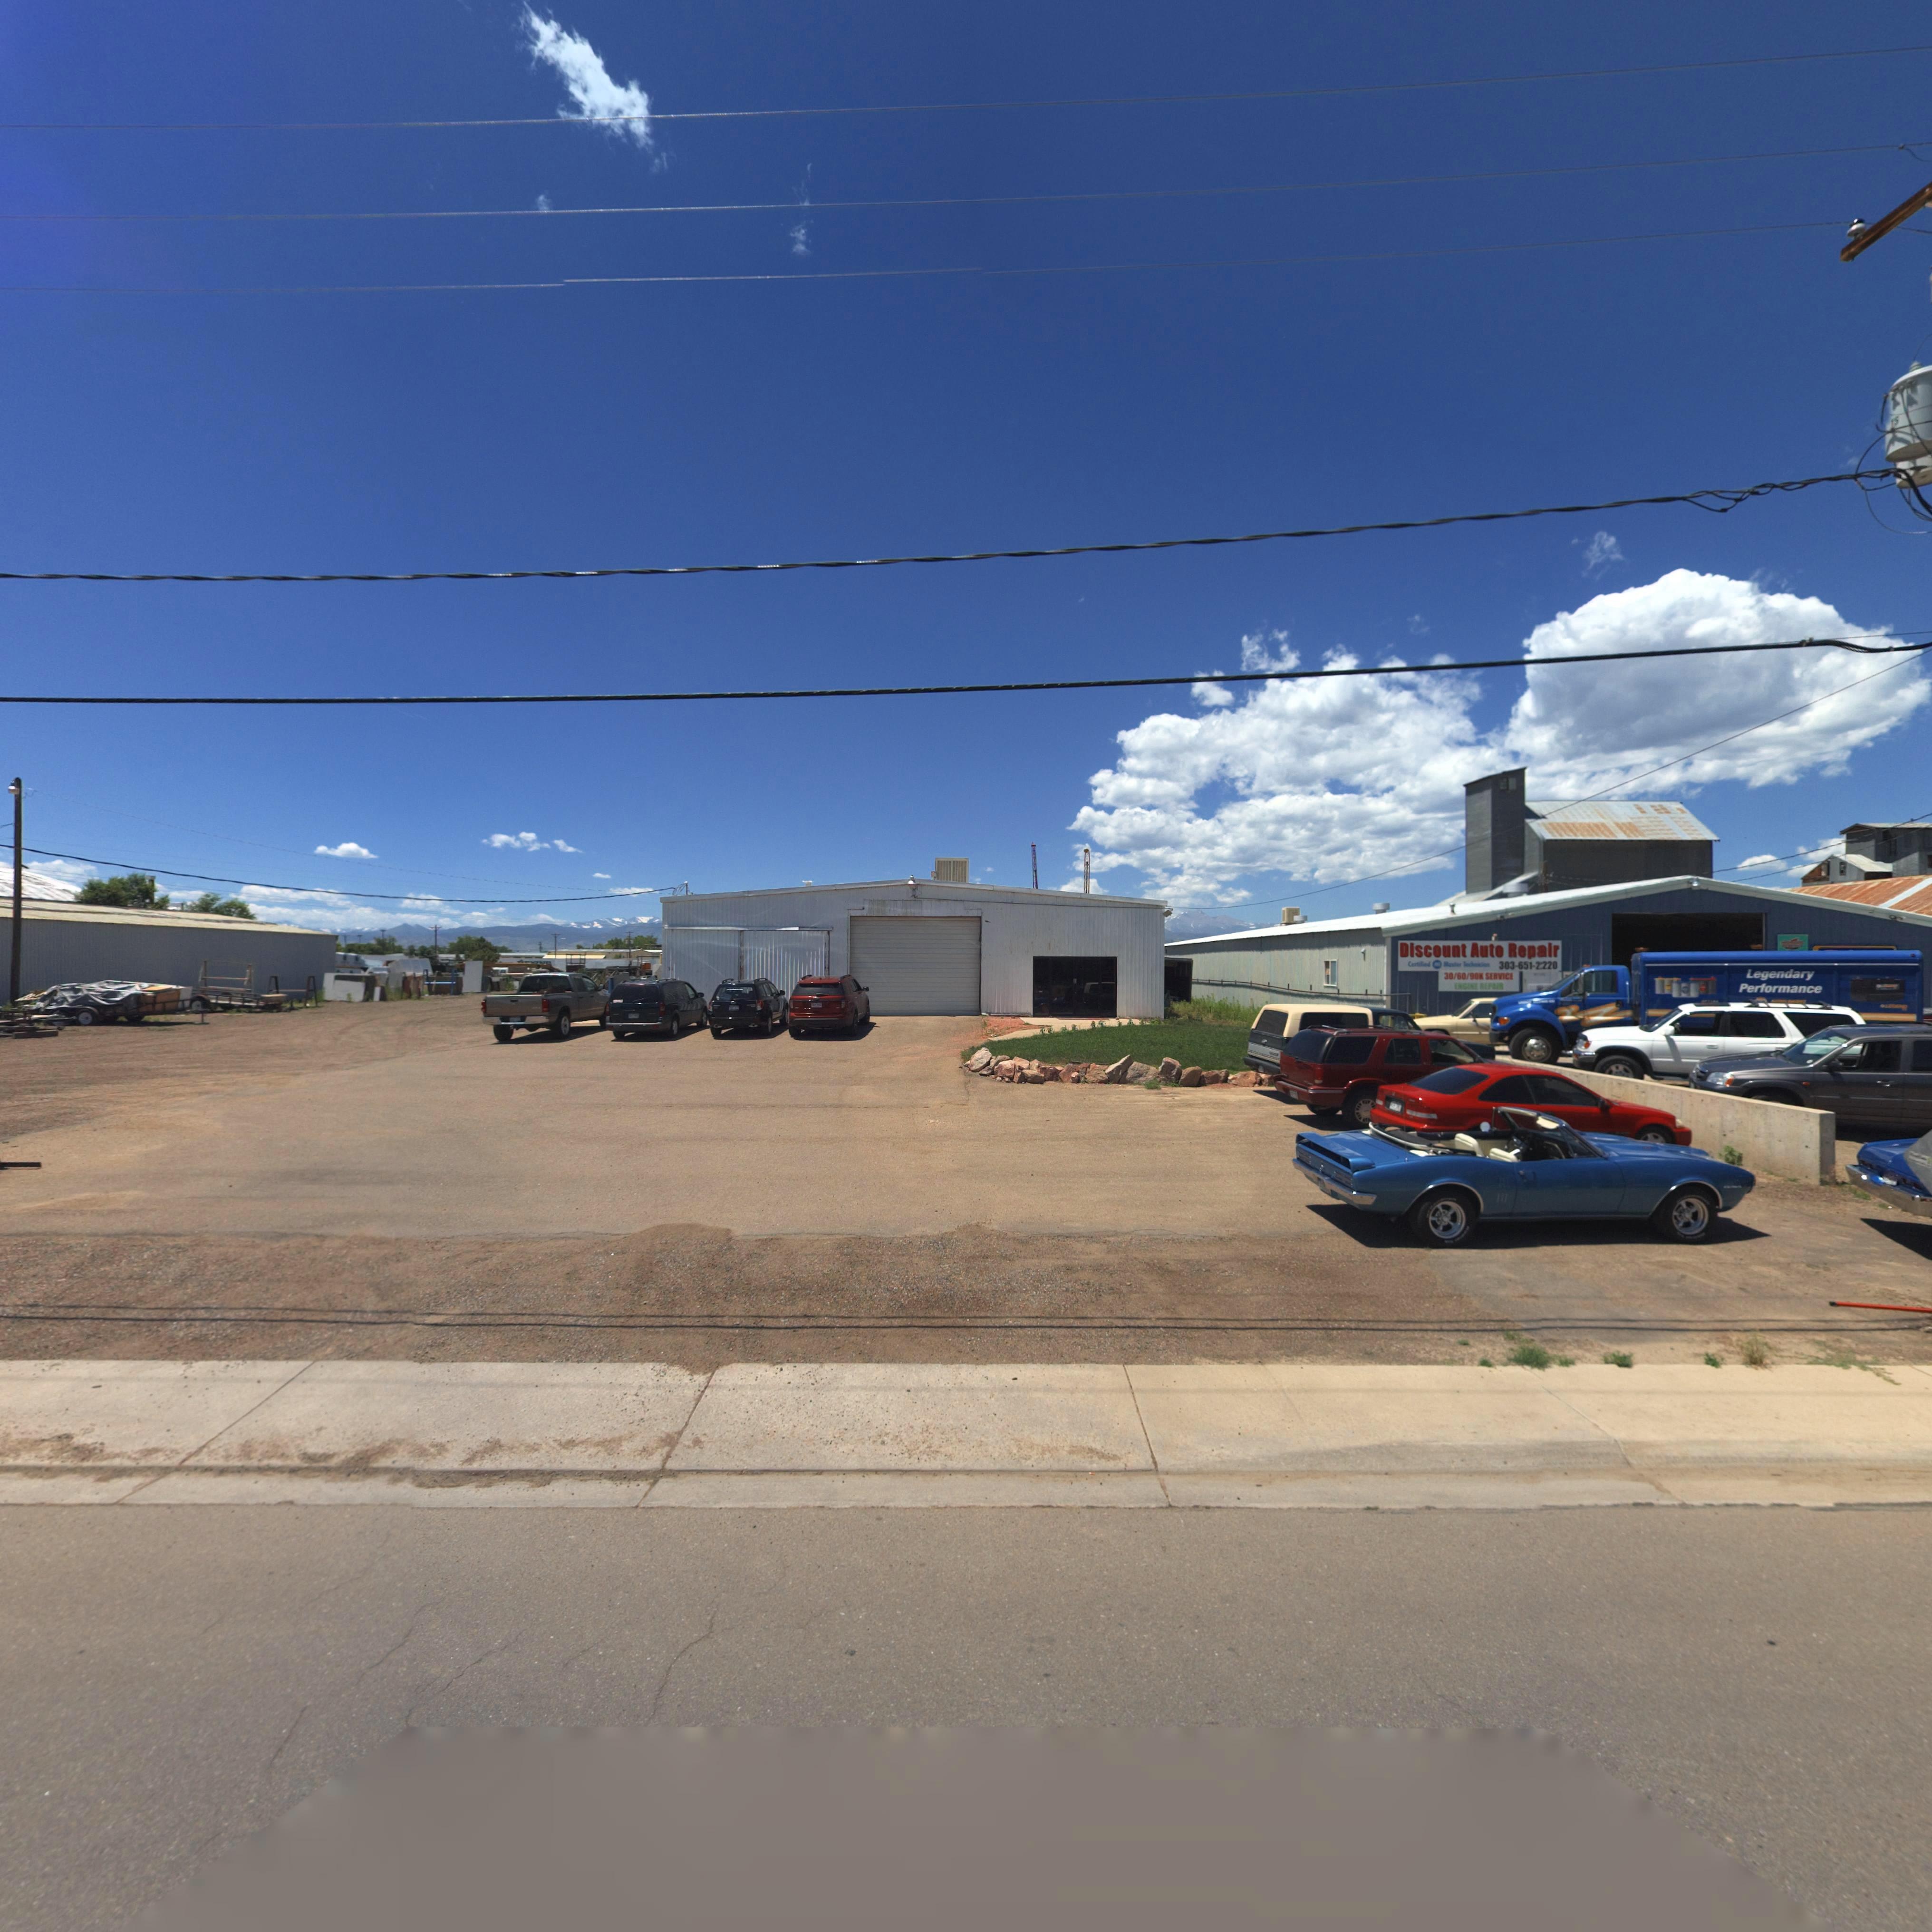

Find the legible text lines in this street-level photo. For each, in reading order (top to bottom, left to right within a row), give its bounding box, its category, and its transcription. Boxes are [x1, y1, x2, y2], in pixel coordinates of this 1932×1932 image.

[1399, 941, 1560, 960] BusinessName: Discount Auto Repair